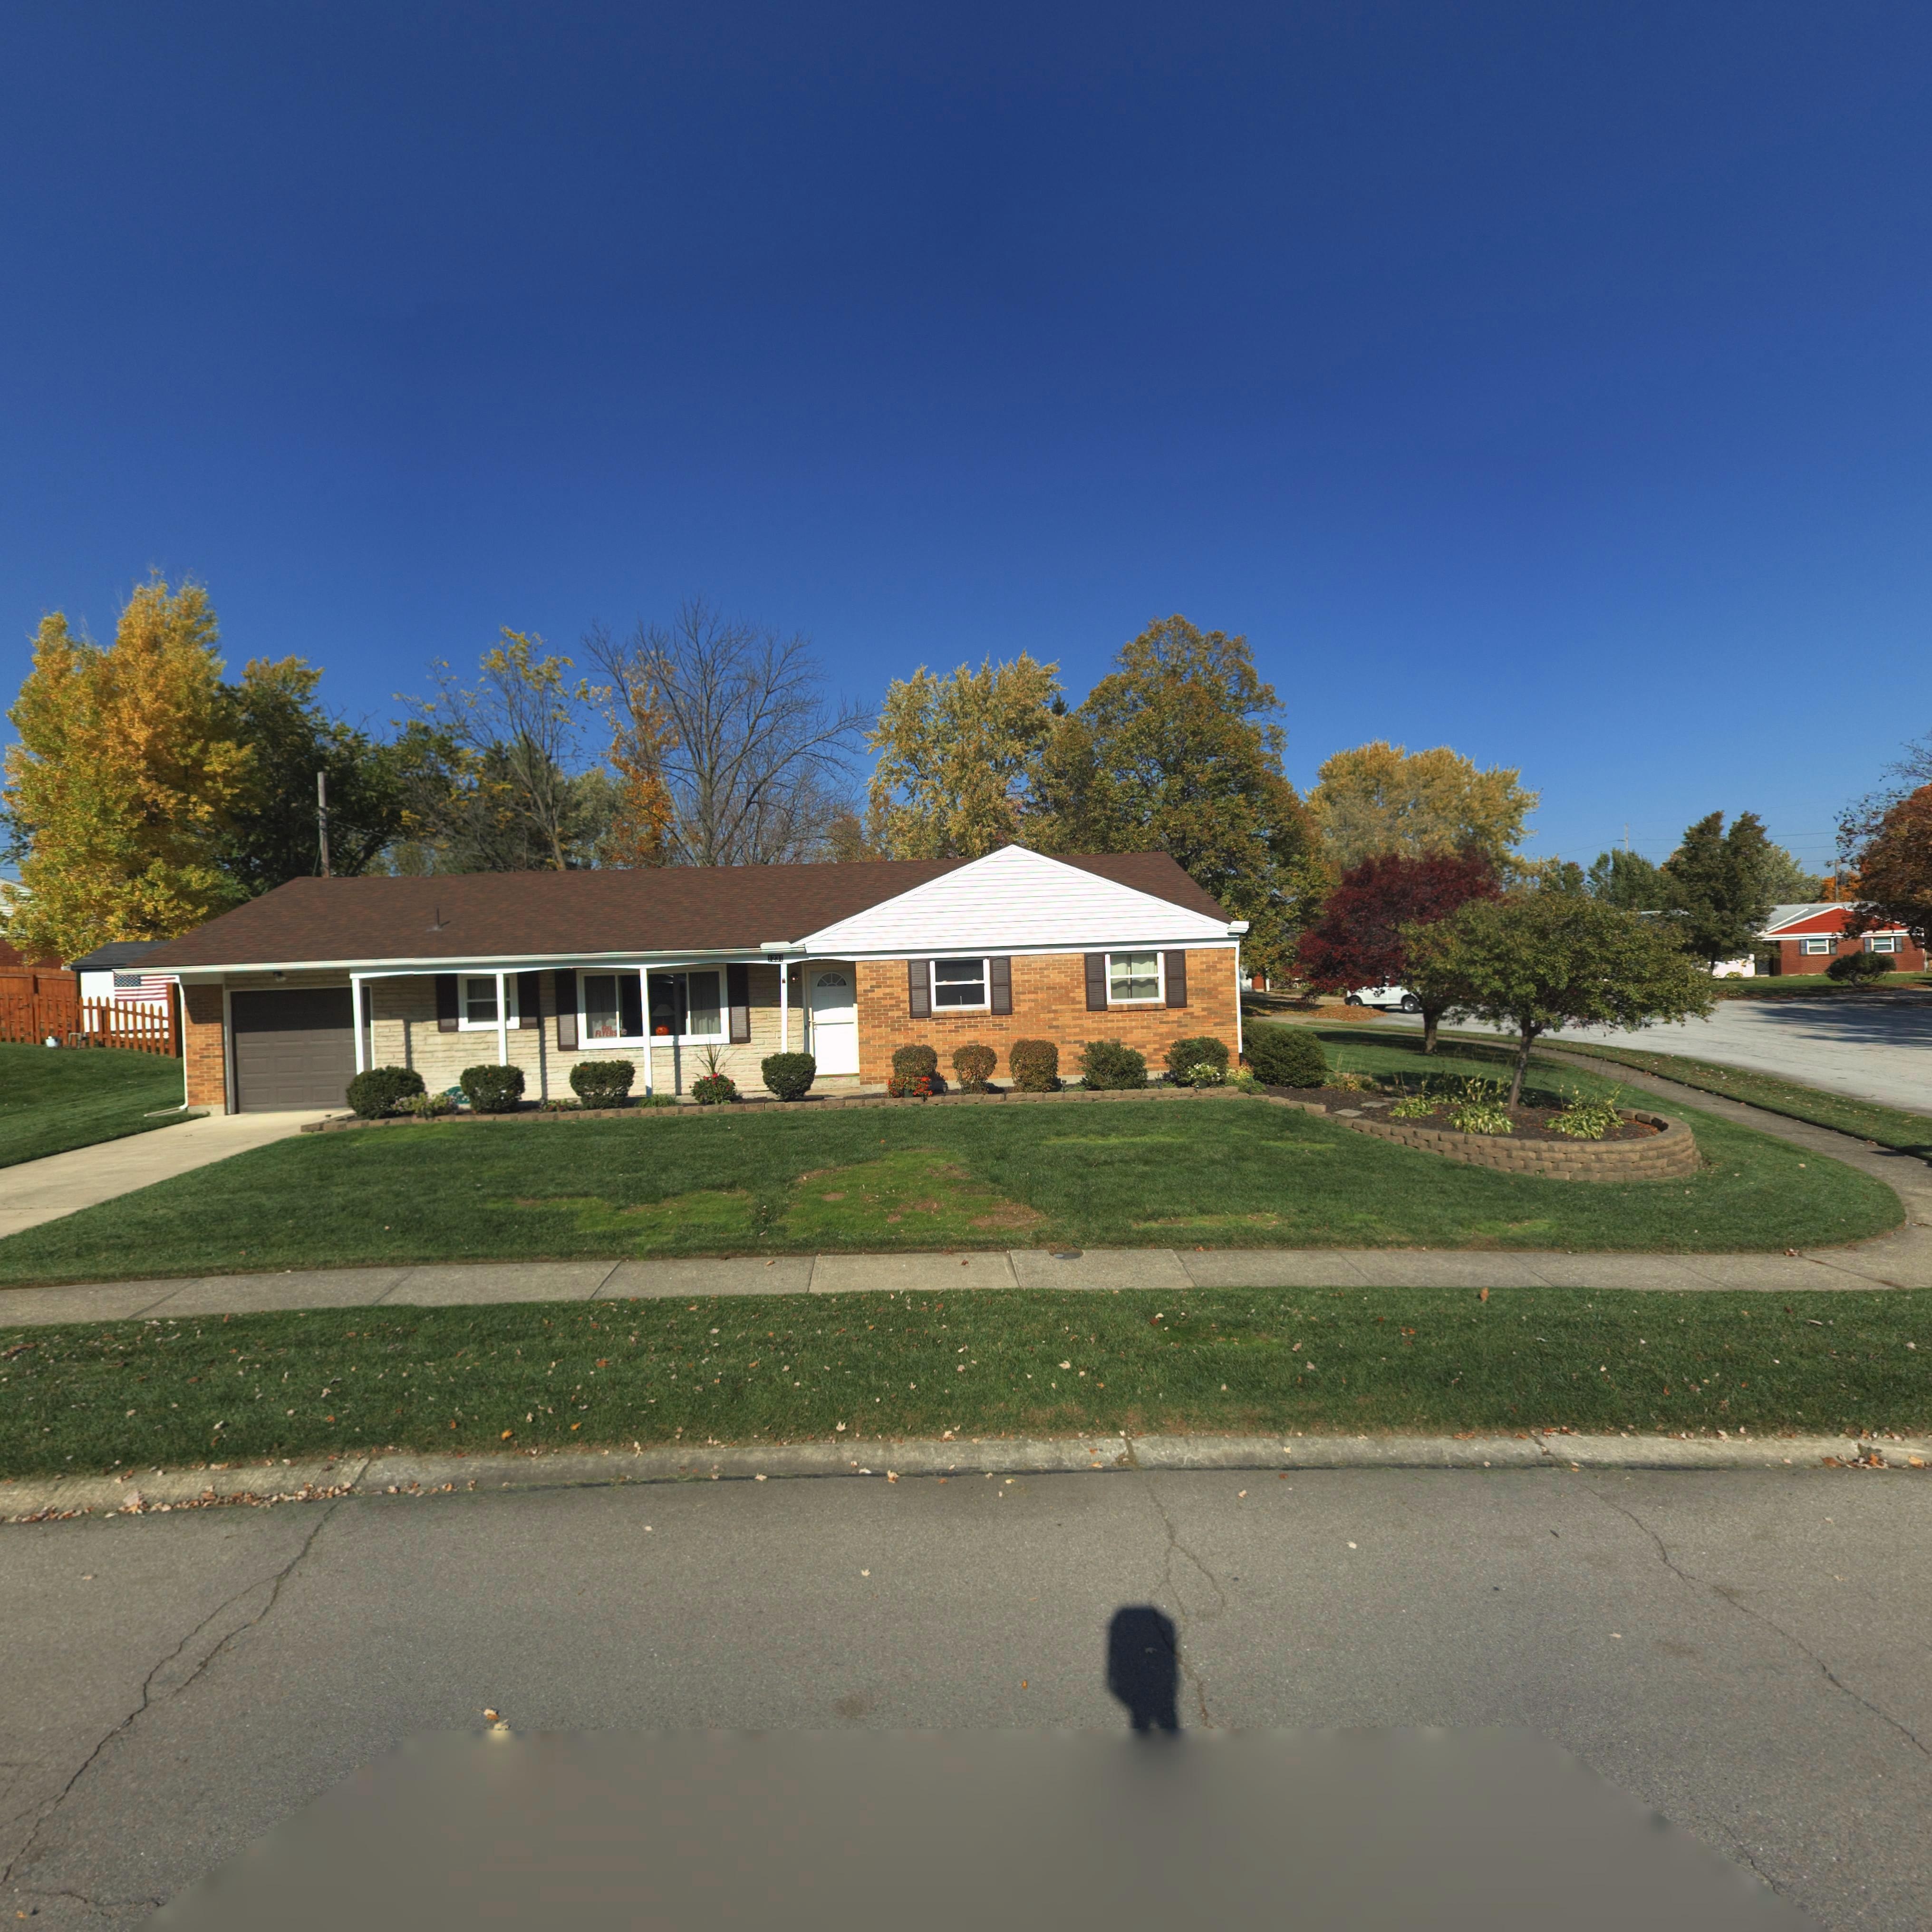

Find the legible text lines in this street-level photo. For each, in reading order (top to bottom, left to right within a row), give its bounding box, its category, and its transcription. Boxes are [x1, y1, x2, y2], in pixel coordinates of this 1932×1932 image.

[768, 955, 783, 962] StreetNumber: 1231
[601, 1025, 612, 1031] None: GO
[594, 1029, 617, 1037] None: FLYERS